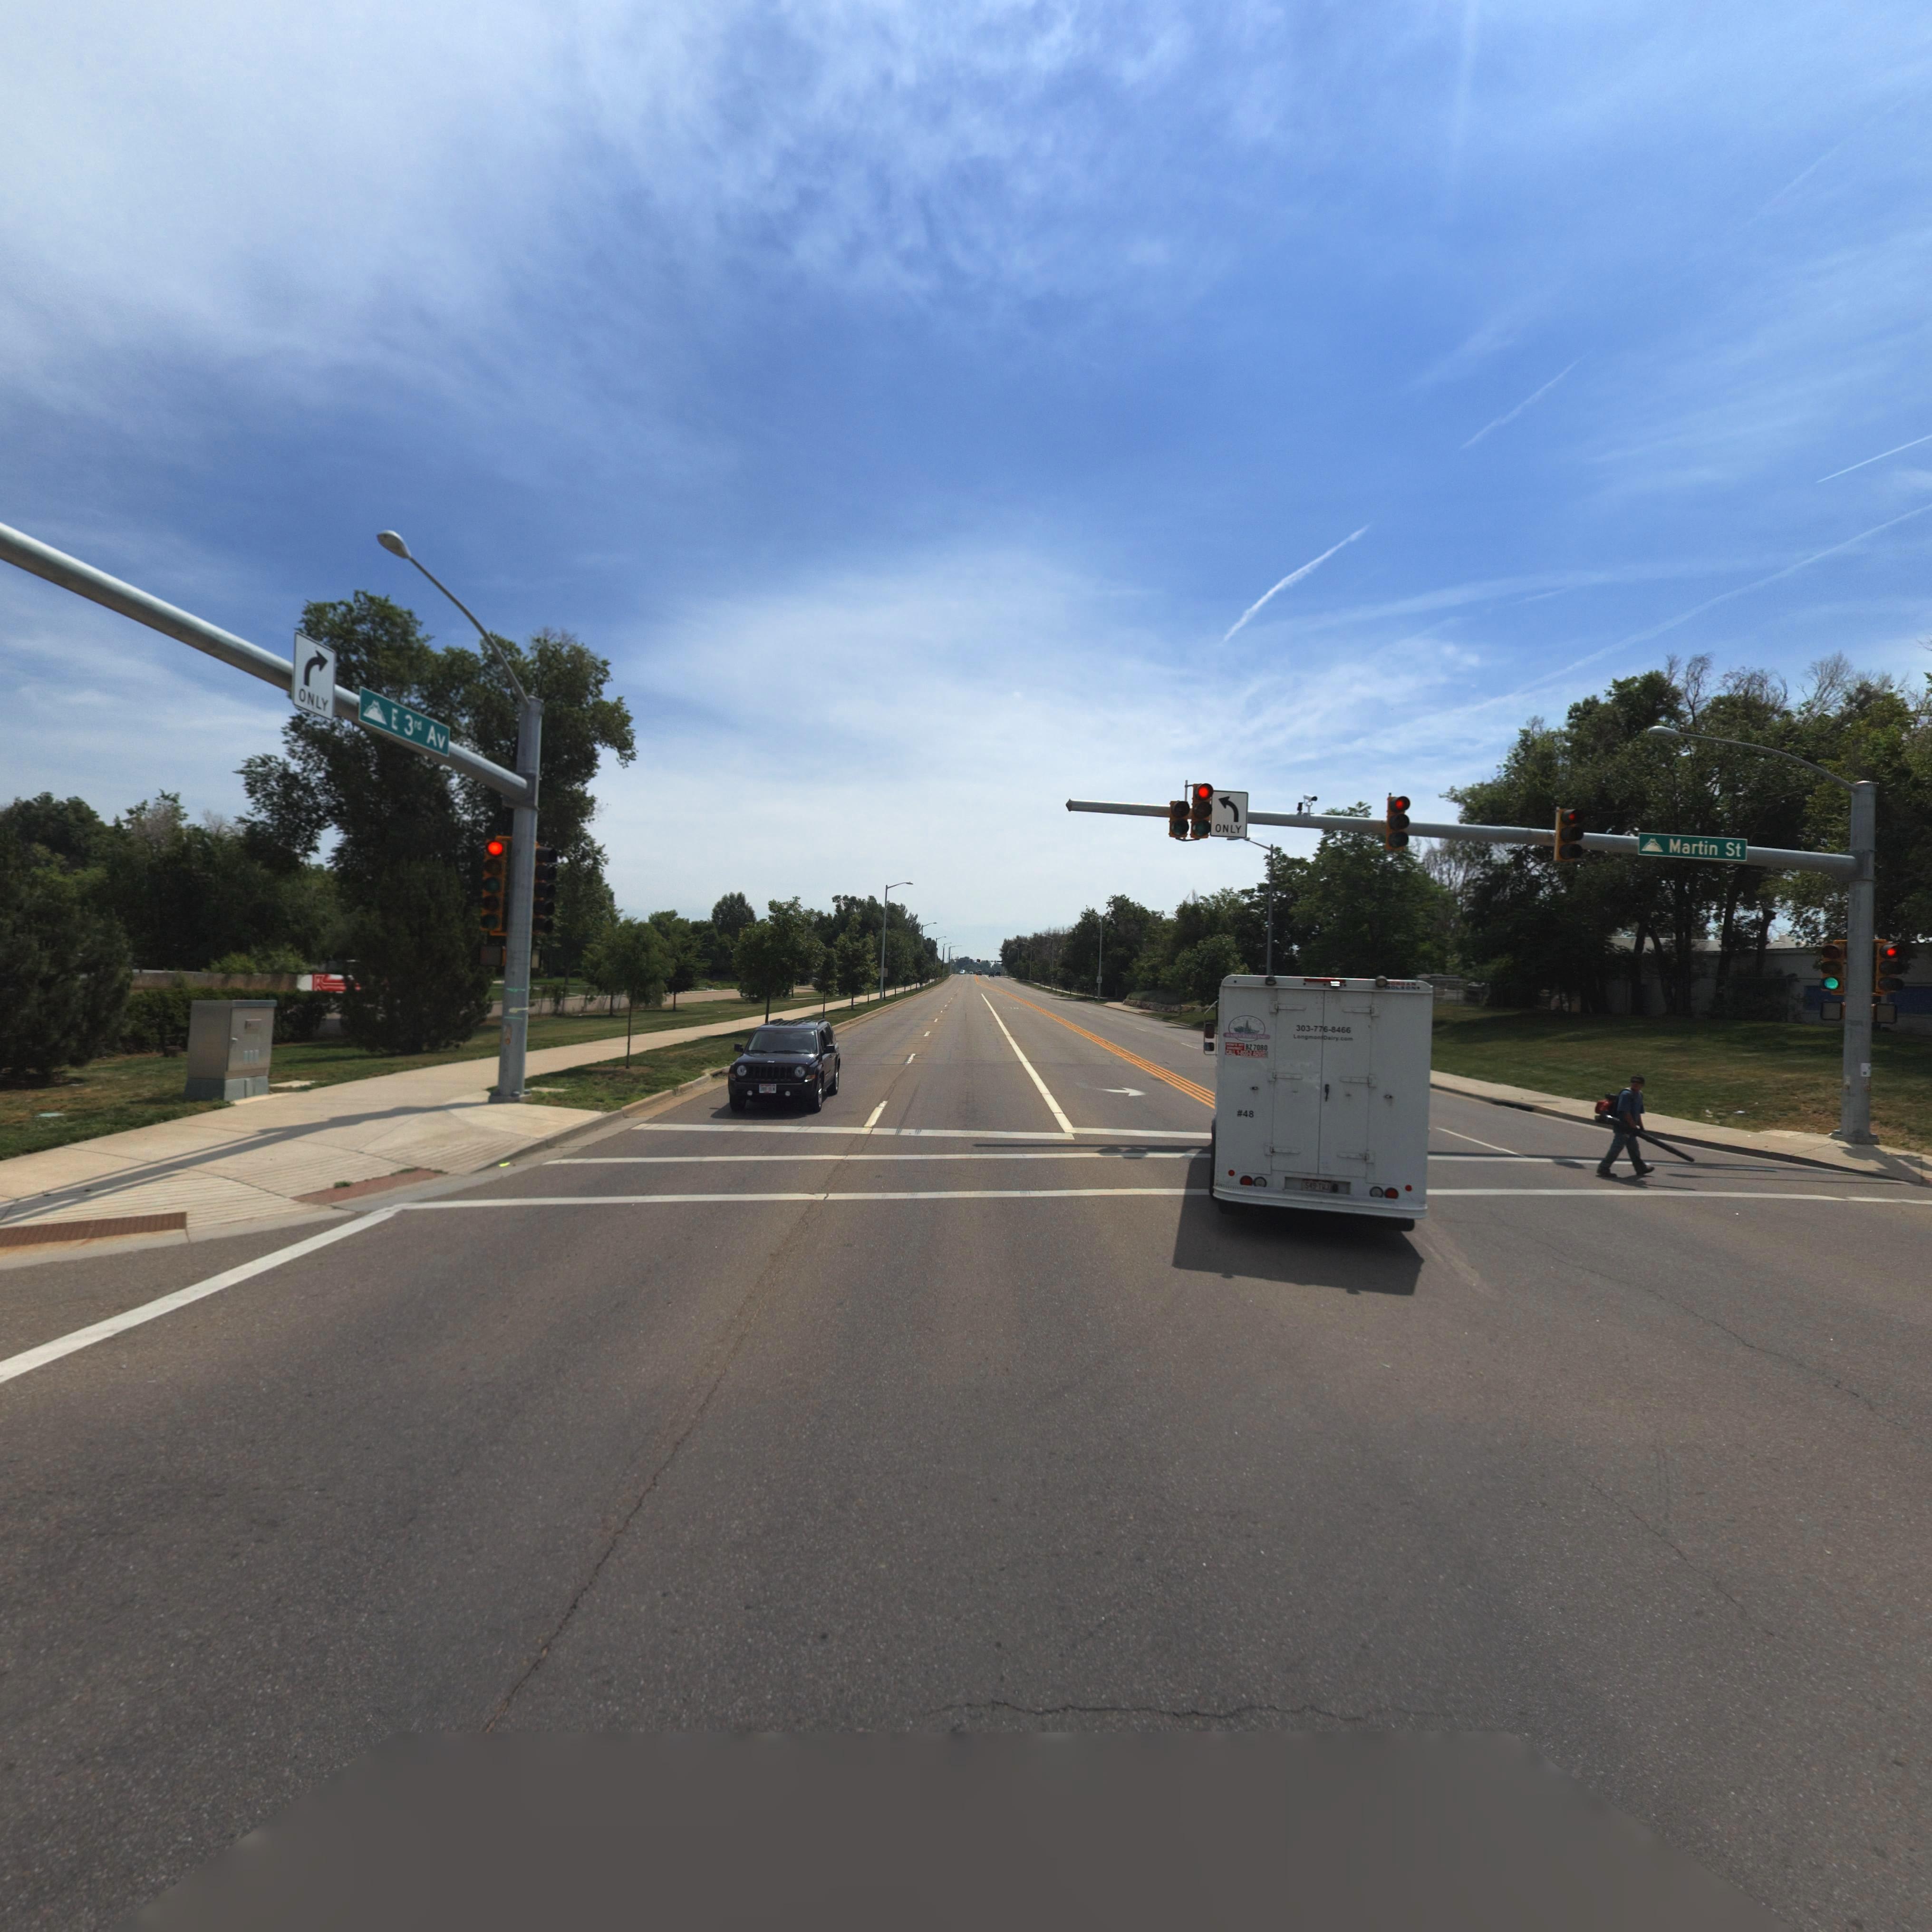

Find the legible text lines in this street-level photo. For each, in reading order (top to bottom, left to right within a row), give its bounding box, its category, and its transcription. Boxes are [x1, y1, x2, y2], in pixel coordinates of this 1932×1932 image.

[389, 706, 446, 750] StreetName: E 3rd Av
[1669, 838, 1742, 857] StreetName: Martin St